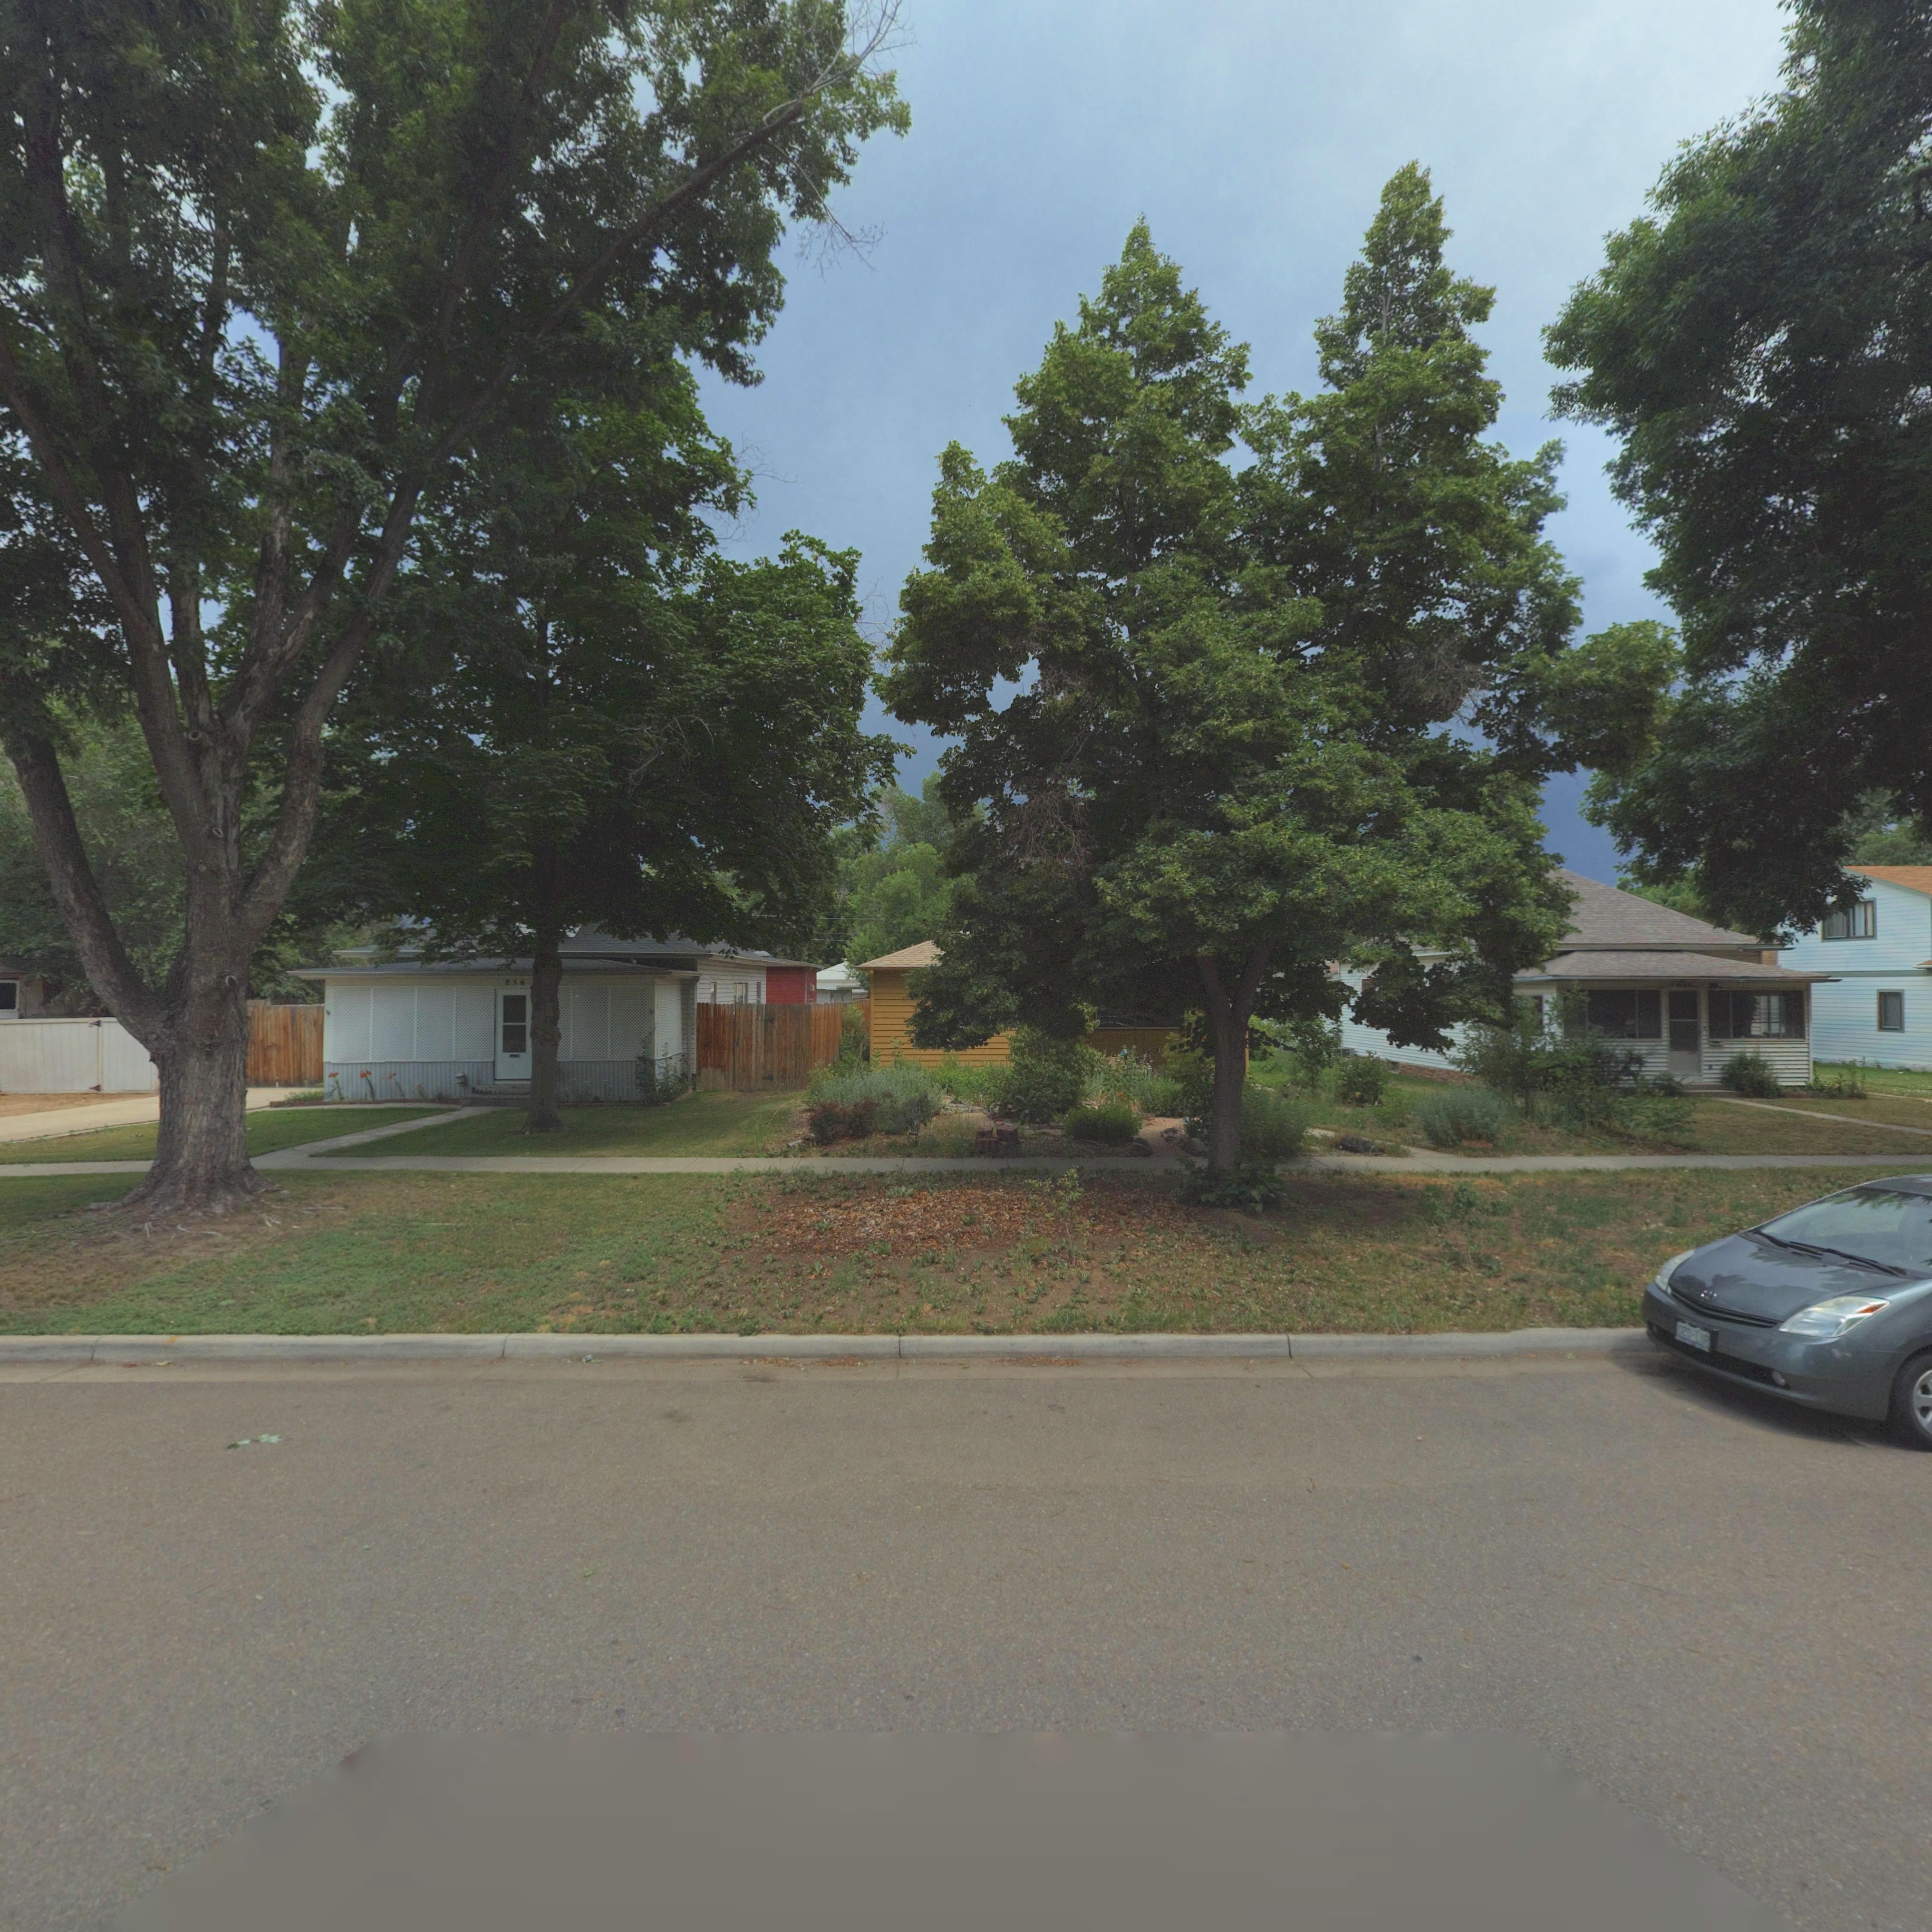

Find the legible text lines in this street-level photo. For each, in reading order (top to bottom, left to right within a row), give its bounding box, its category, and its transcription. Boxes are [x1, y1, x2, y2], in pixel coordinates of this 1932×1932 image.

[504, 978, 525, 986] StreetNumber: 836
[1675, 980, 1694, 988] StreetNumber: *80